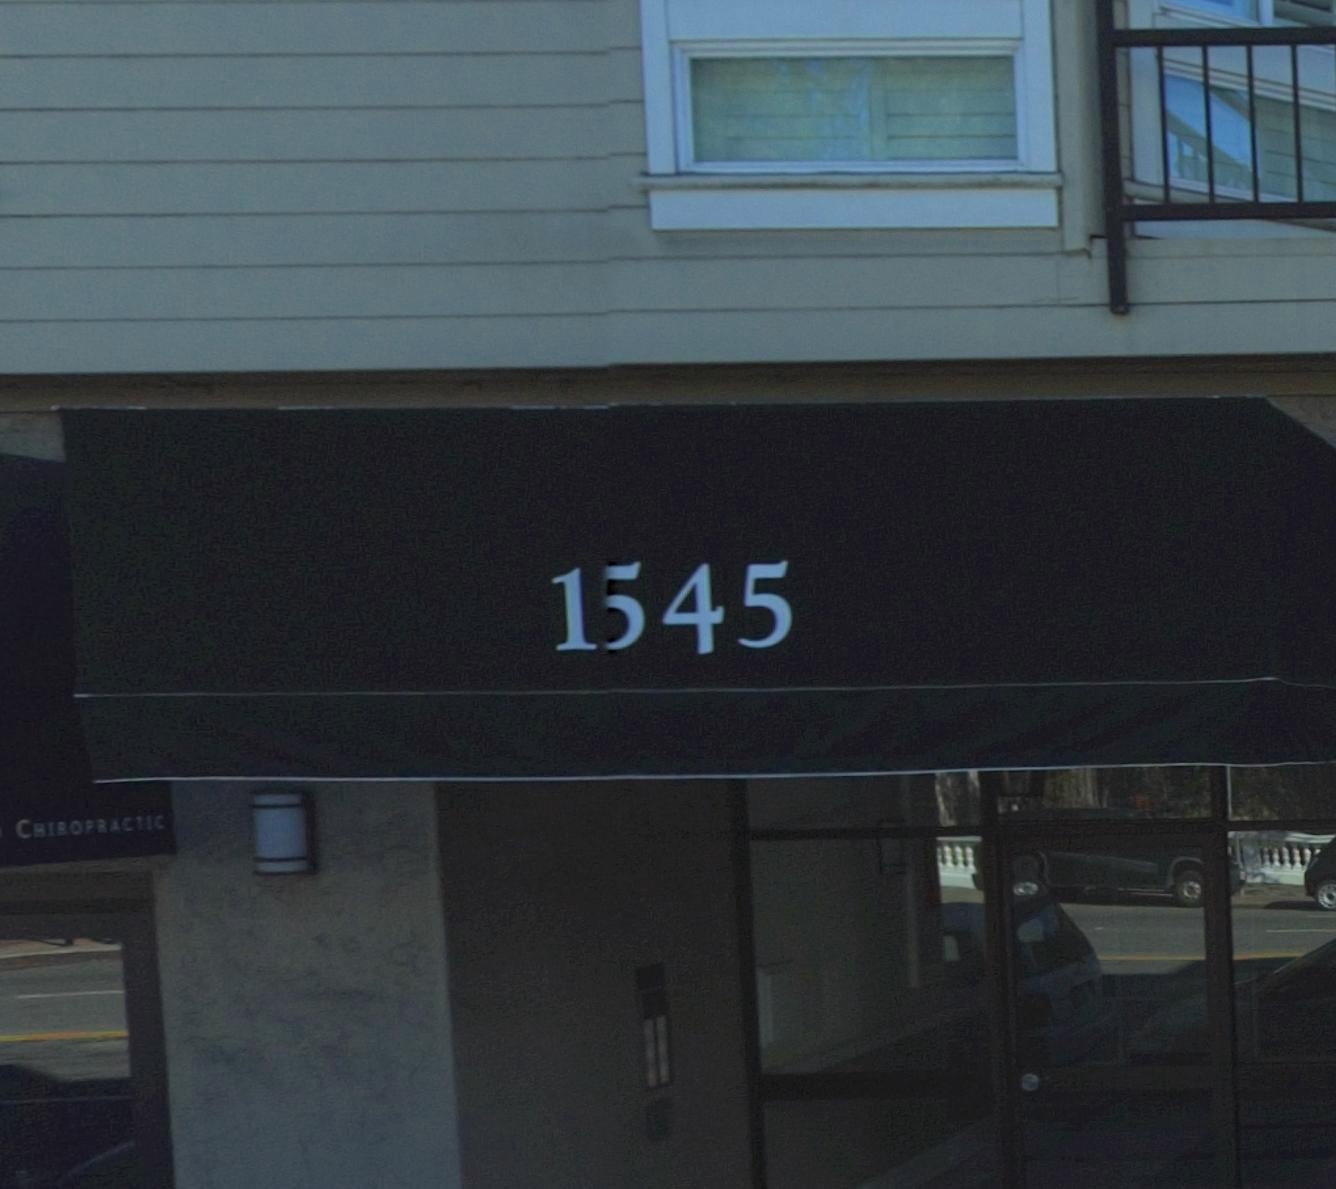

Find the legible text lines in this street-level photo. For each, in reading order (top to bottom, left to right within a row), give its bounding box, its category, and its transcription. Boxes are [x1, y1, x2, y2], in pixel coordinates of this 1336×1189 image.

[545, 559, 797, 657] StreetNumber: 1545
[13, 812, 166, 842] None: CHIROPRACTIC